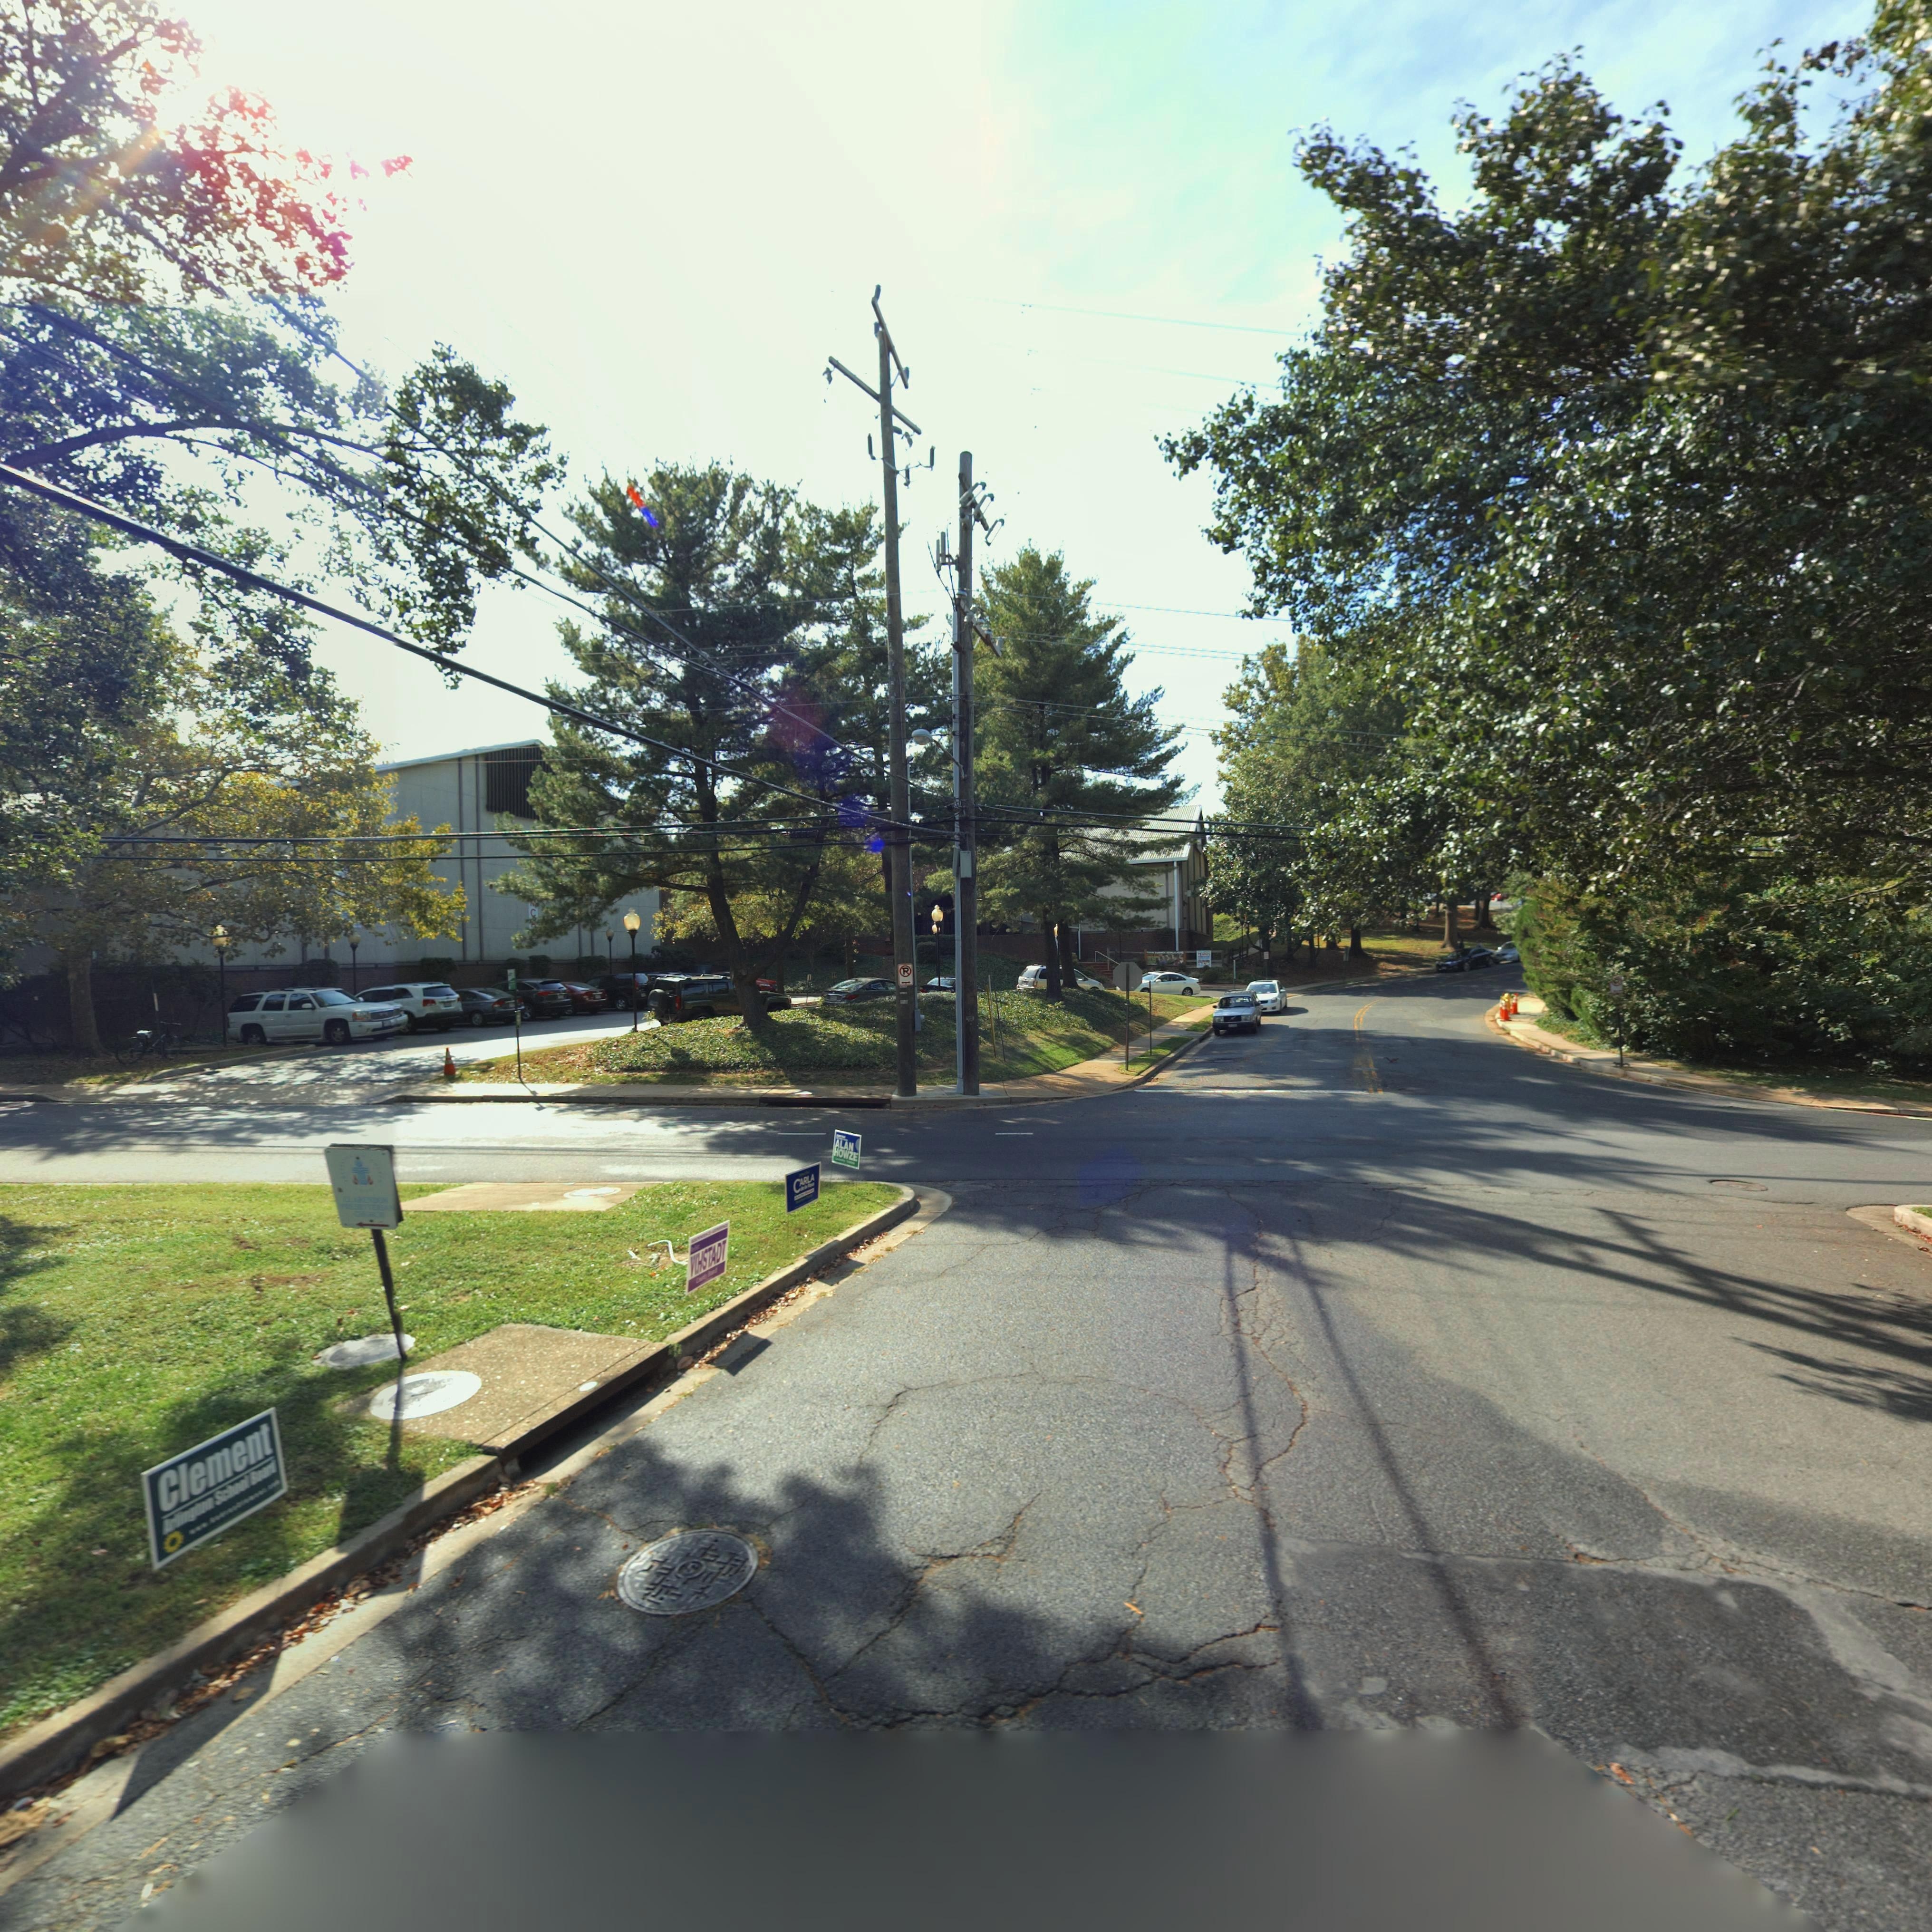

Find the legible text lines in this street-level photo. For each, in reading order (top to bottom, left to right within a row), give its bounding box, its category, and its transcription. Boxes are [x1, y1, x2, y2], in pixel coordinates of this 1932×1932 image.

[530, 908, 537, 918] BusinessName: C
[834, 1139, 854, 1152] None: ALAN
[834, 1147, 859, 1163] None: HOWZE
[792, 1173, 815, 1194] None: CARLA
[690, 1238, 727, 1278] None: VIHSTADT
[156, 1421, 274, 1517] None: Clement
[162, 1458, 277, 1537] None: A*ling*on School Board